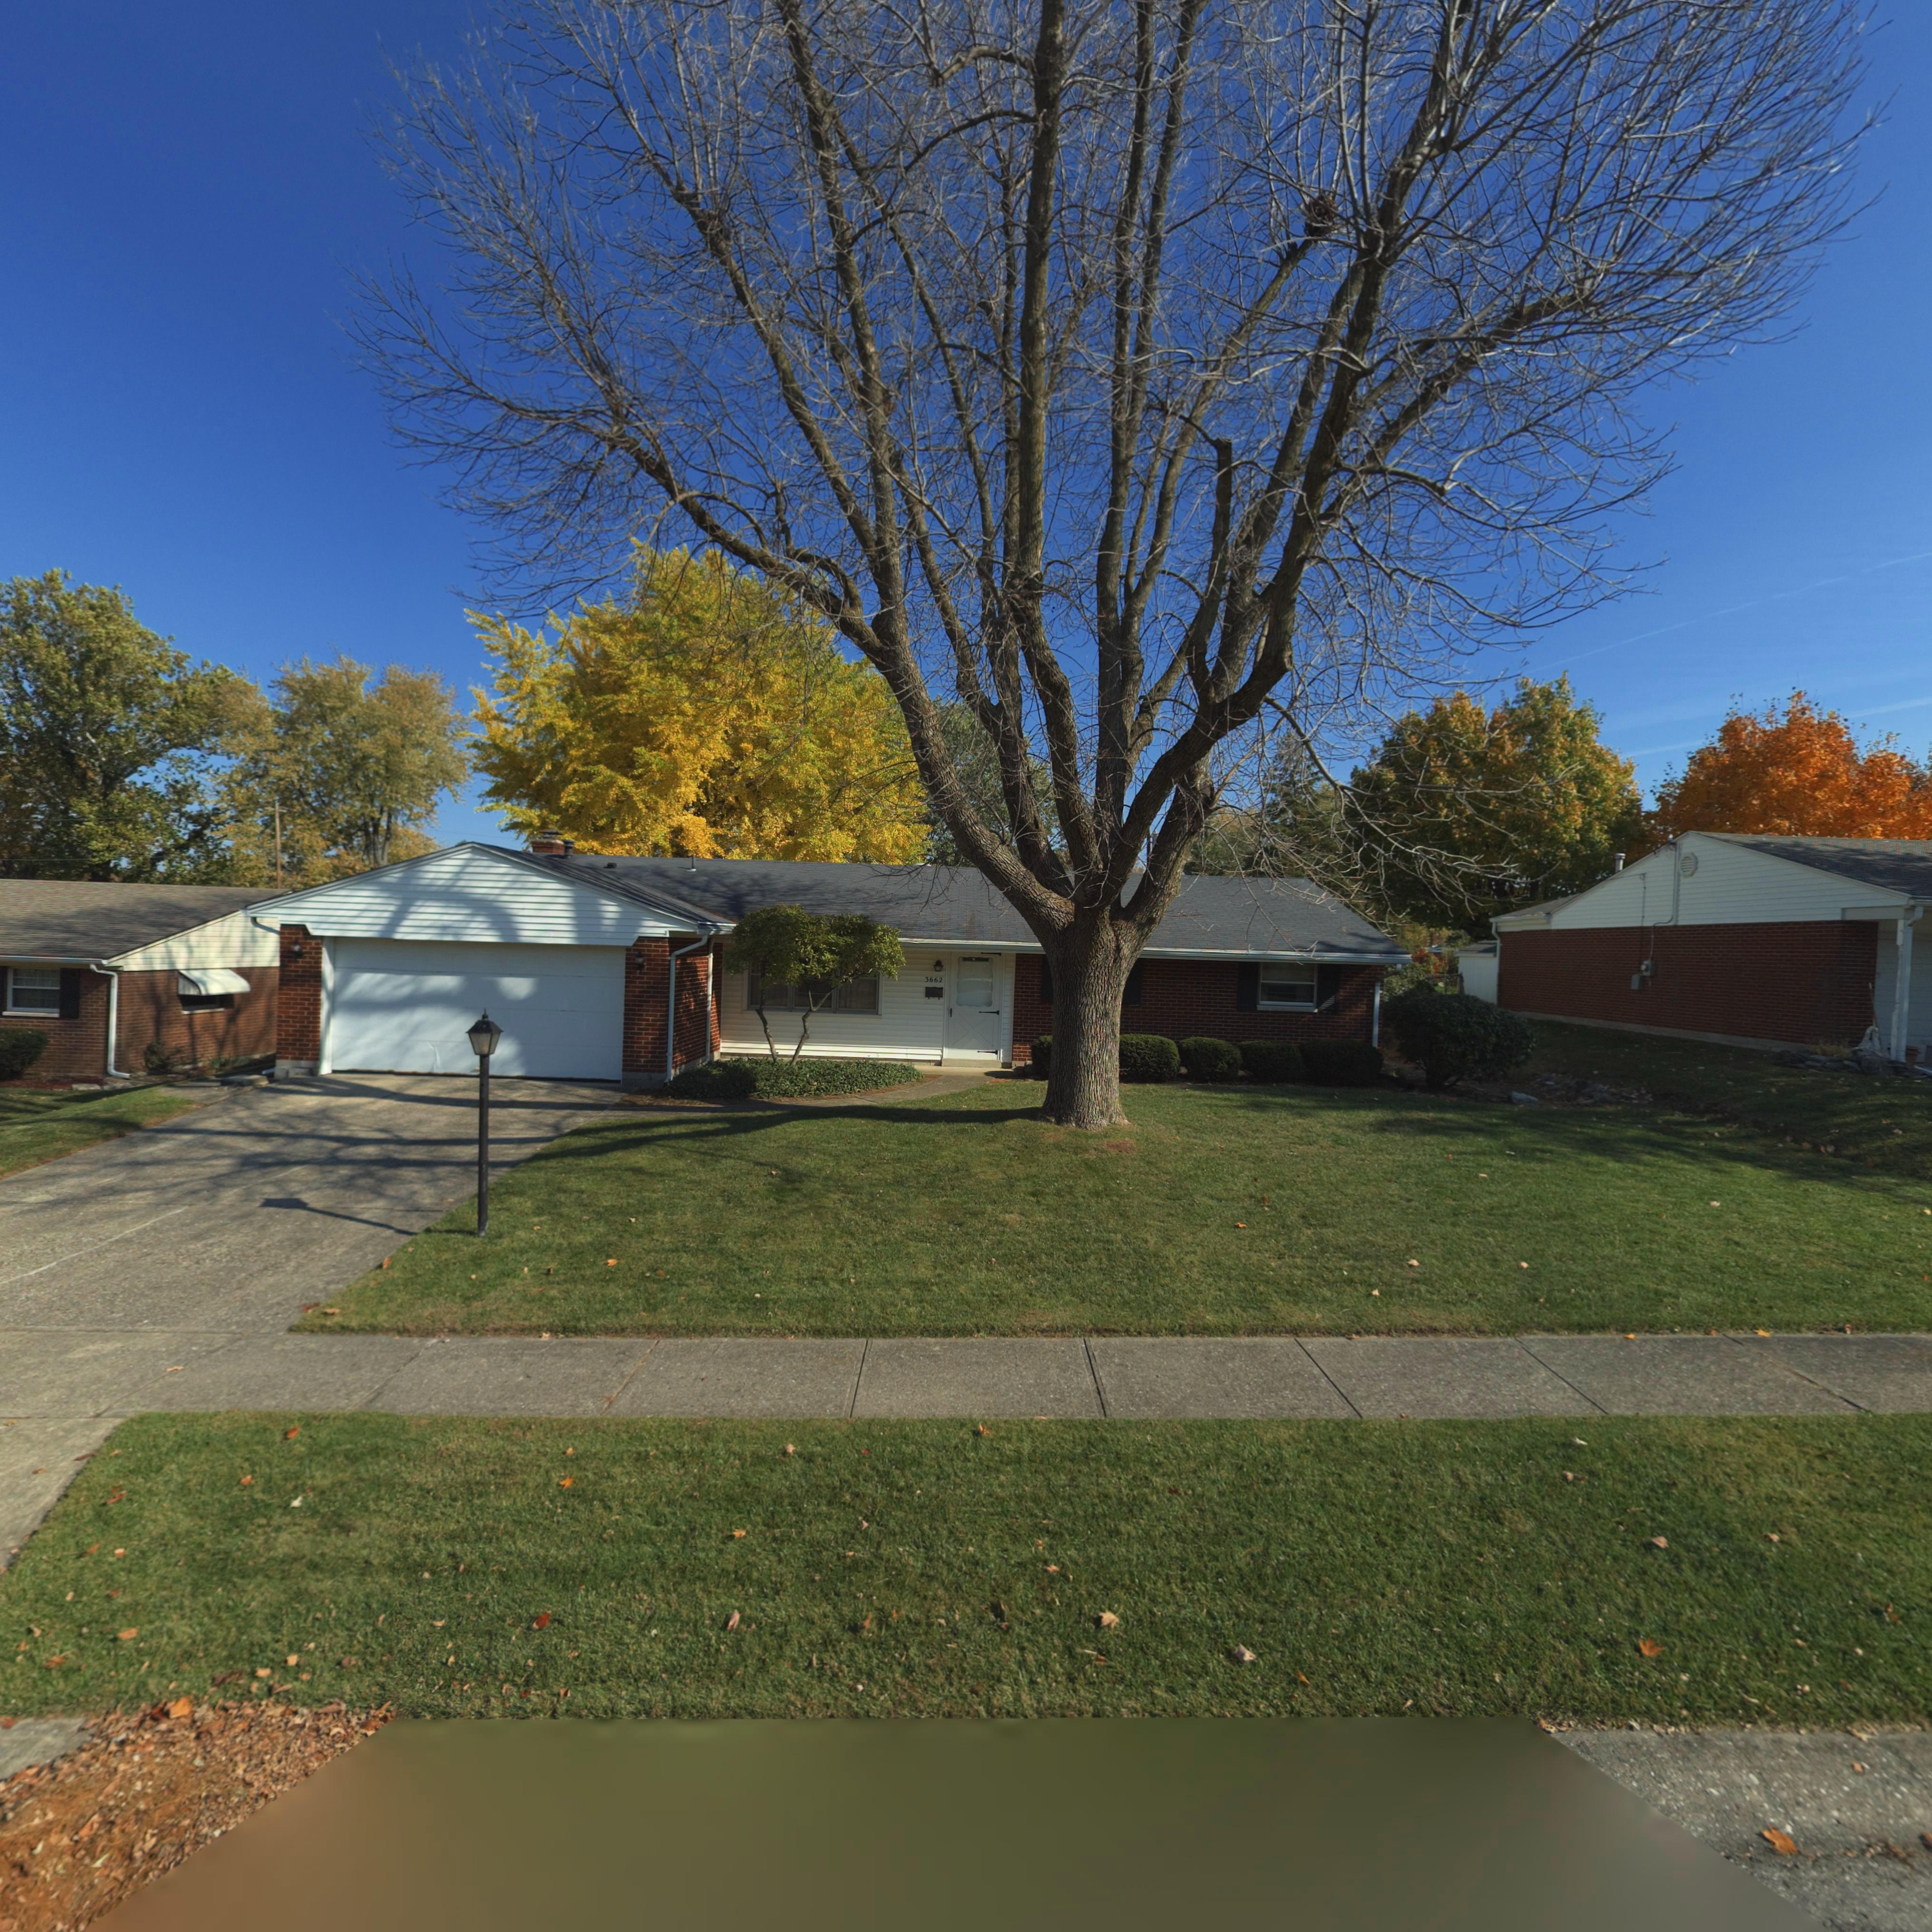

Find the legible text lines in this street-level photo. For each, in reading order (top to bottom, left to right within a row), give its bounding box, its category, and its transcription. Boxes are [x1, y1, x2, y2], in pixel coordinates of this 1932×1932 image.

[924, 975, 943, 984] StreetNumber: 3662